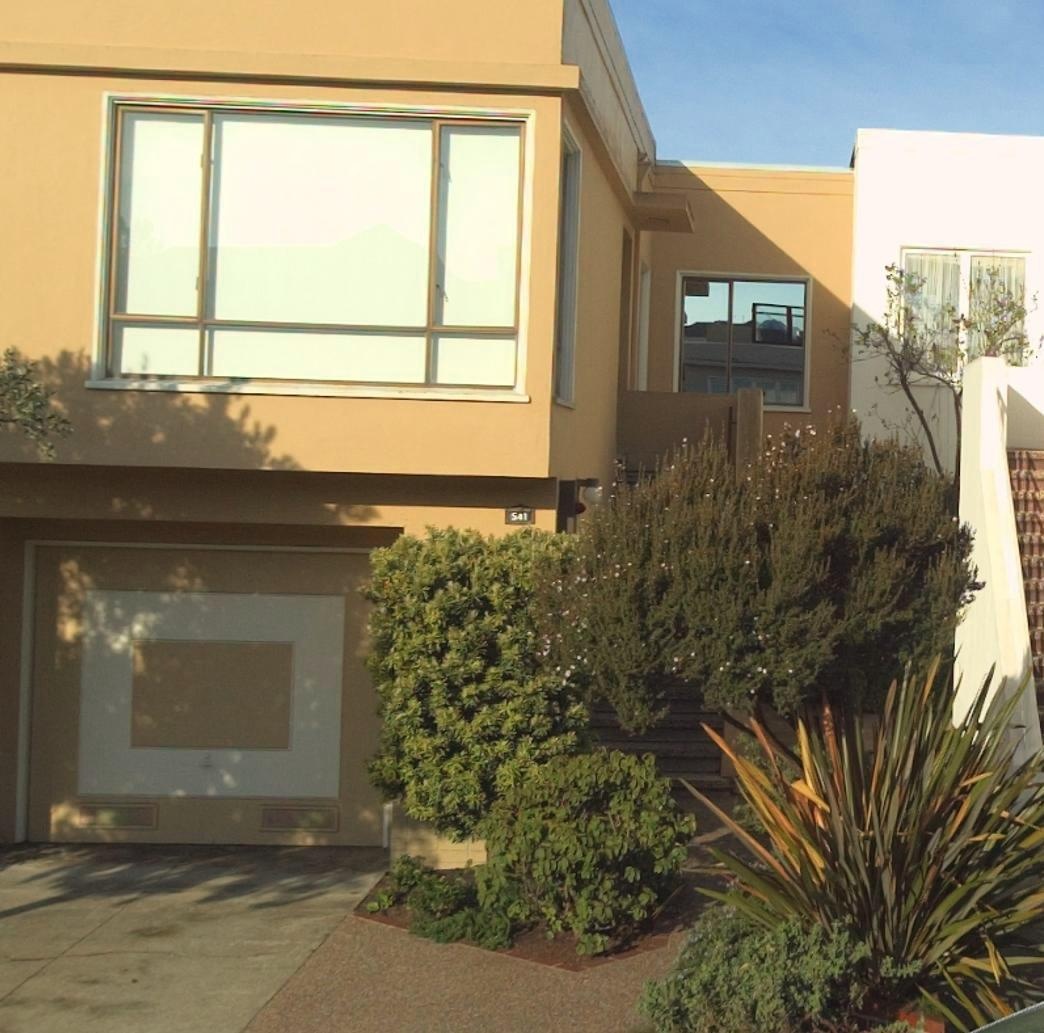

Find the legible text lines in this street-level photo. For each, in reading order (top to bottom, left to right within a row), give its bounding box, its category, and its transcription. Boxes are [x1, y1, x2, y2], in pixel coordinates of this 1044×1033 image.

[509, 511, 529, 523] StreetNumber: 541